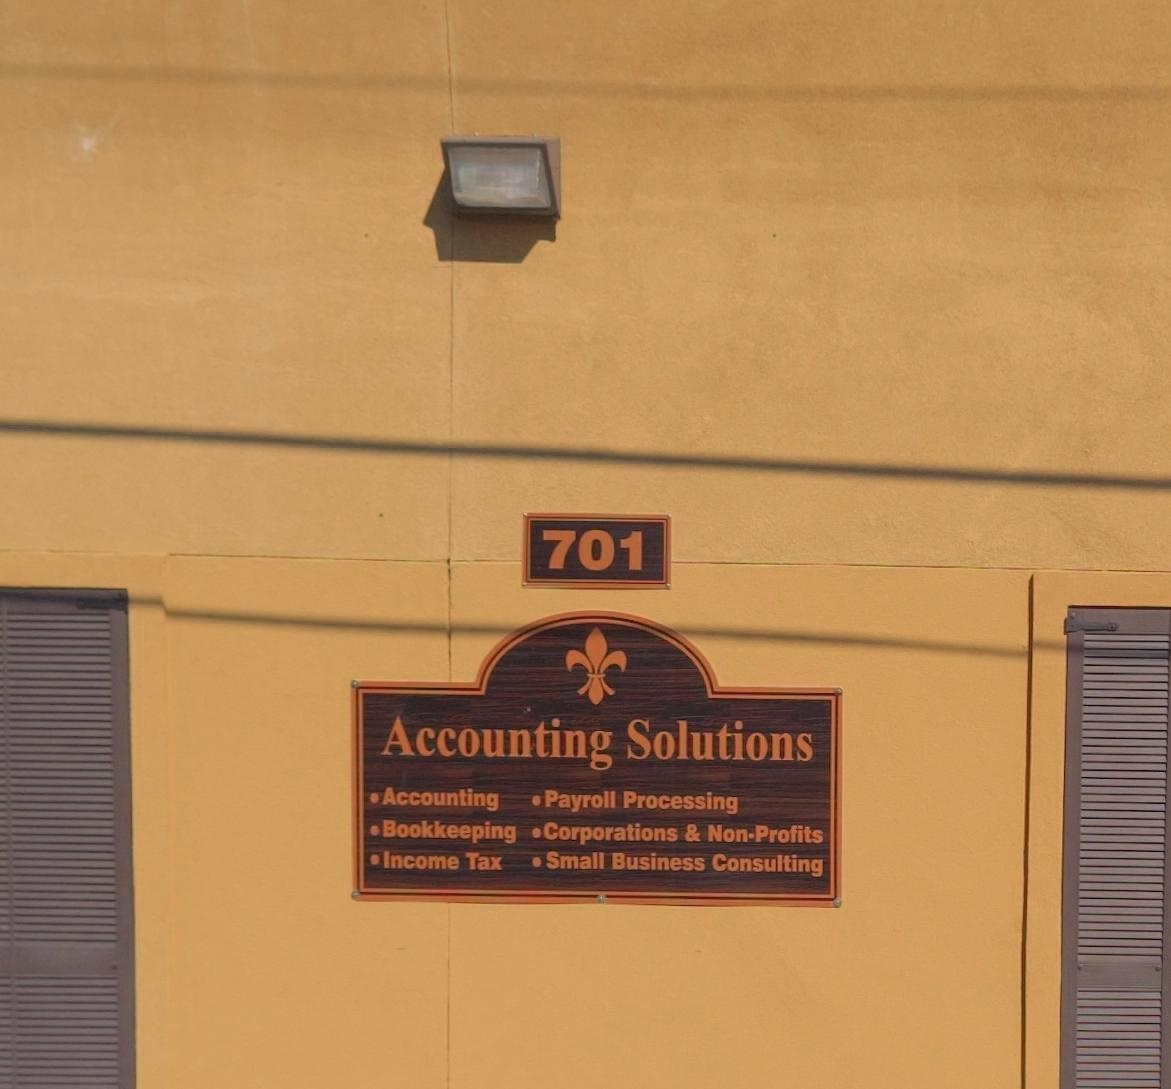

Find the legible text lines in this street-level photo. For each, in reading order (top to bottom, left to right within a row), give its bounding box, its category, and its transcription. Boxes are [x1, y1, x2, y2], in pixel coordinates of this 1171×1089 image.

[538, 526, 649, 575] StreetNumber: 701
[375, 708, 821, 776] BusinessName: Accounting Solutions
[379, 782, 742, 818] None: Accounting *Payroll Processing
[381, 815, 824, 847] None: Bookkeeping *Corporations & Non-Profits
[380, 848, 826, 880] None: Income Tax *Small Business Consulting